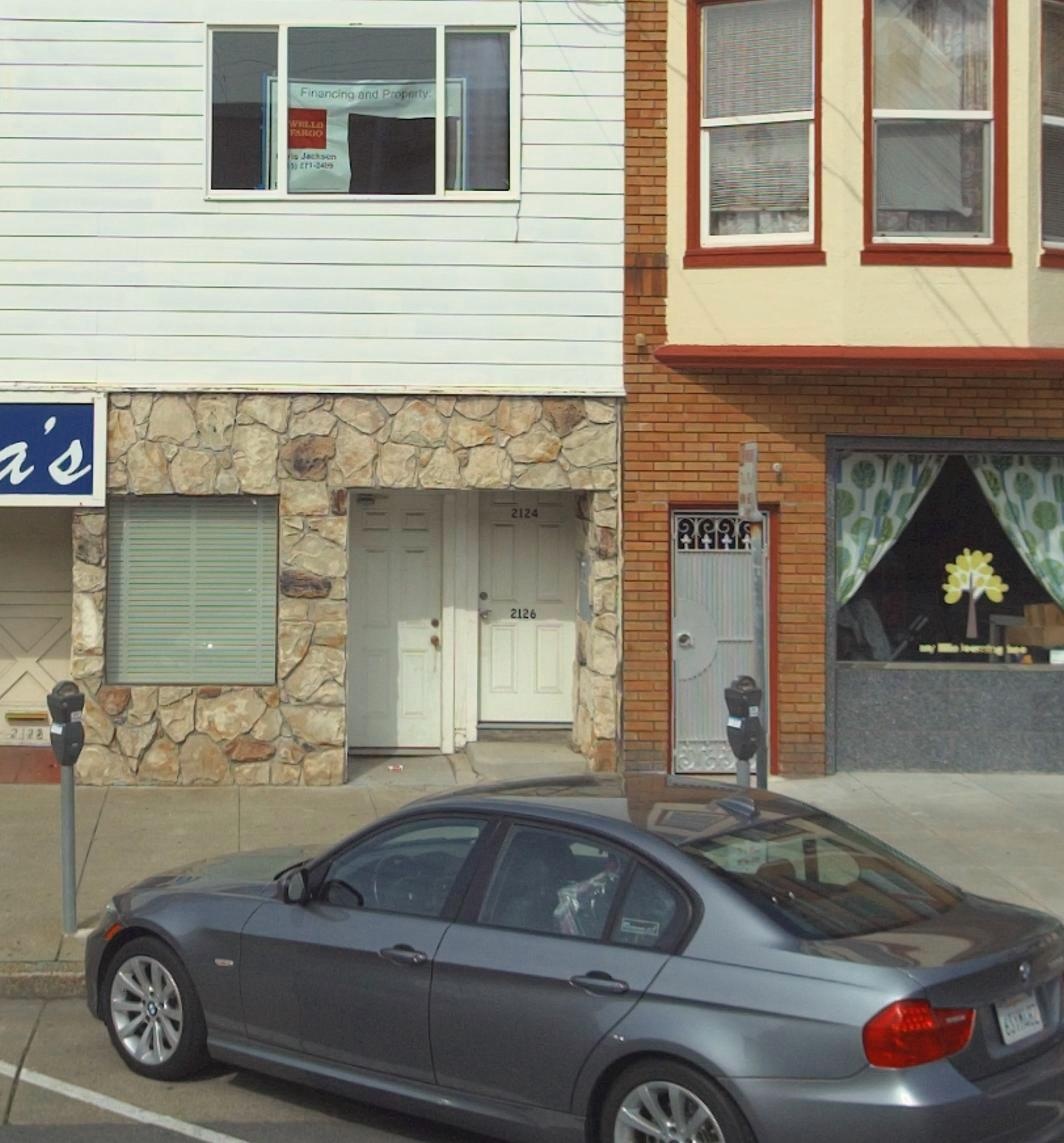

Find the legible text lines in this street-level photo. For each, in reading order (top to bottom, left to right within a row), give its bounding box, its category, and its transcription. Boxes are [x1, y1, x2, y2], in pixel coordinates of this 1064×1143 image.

[299, 85, 432, 103] None: Financing and Property
[287, 118, 325, 130] None: WELLS
[288, 127, 324, 138] None: FARGO
[41, 435, 95, 491] None: s
[510, 506, 540, 520] StreetNumber: 2124
[509, 607, 538, 620] StreetNumber: 2126
[9, 726, 45, 742] StreetNumber: 2128